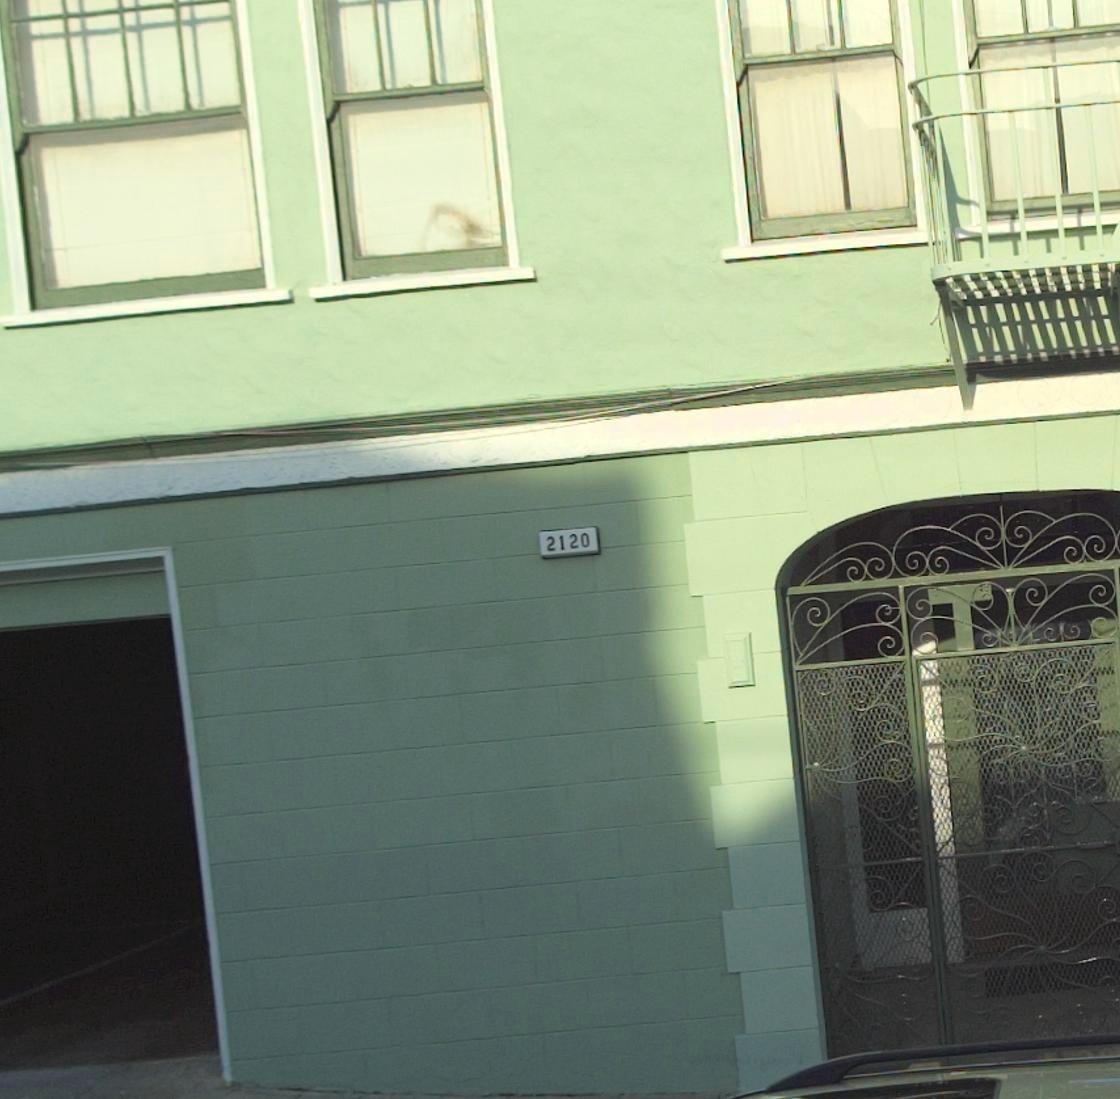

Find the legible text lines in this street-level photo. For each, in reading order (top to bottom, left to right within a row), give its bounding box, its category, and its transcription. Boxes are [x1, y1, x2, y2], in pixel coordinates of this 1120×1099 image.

[544, 530, 592, 554] StreetNumber: 2120